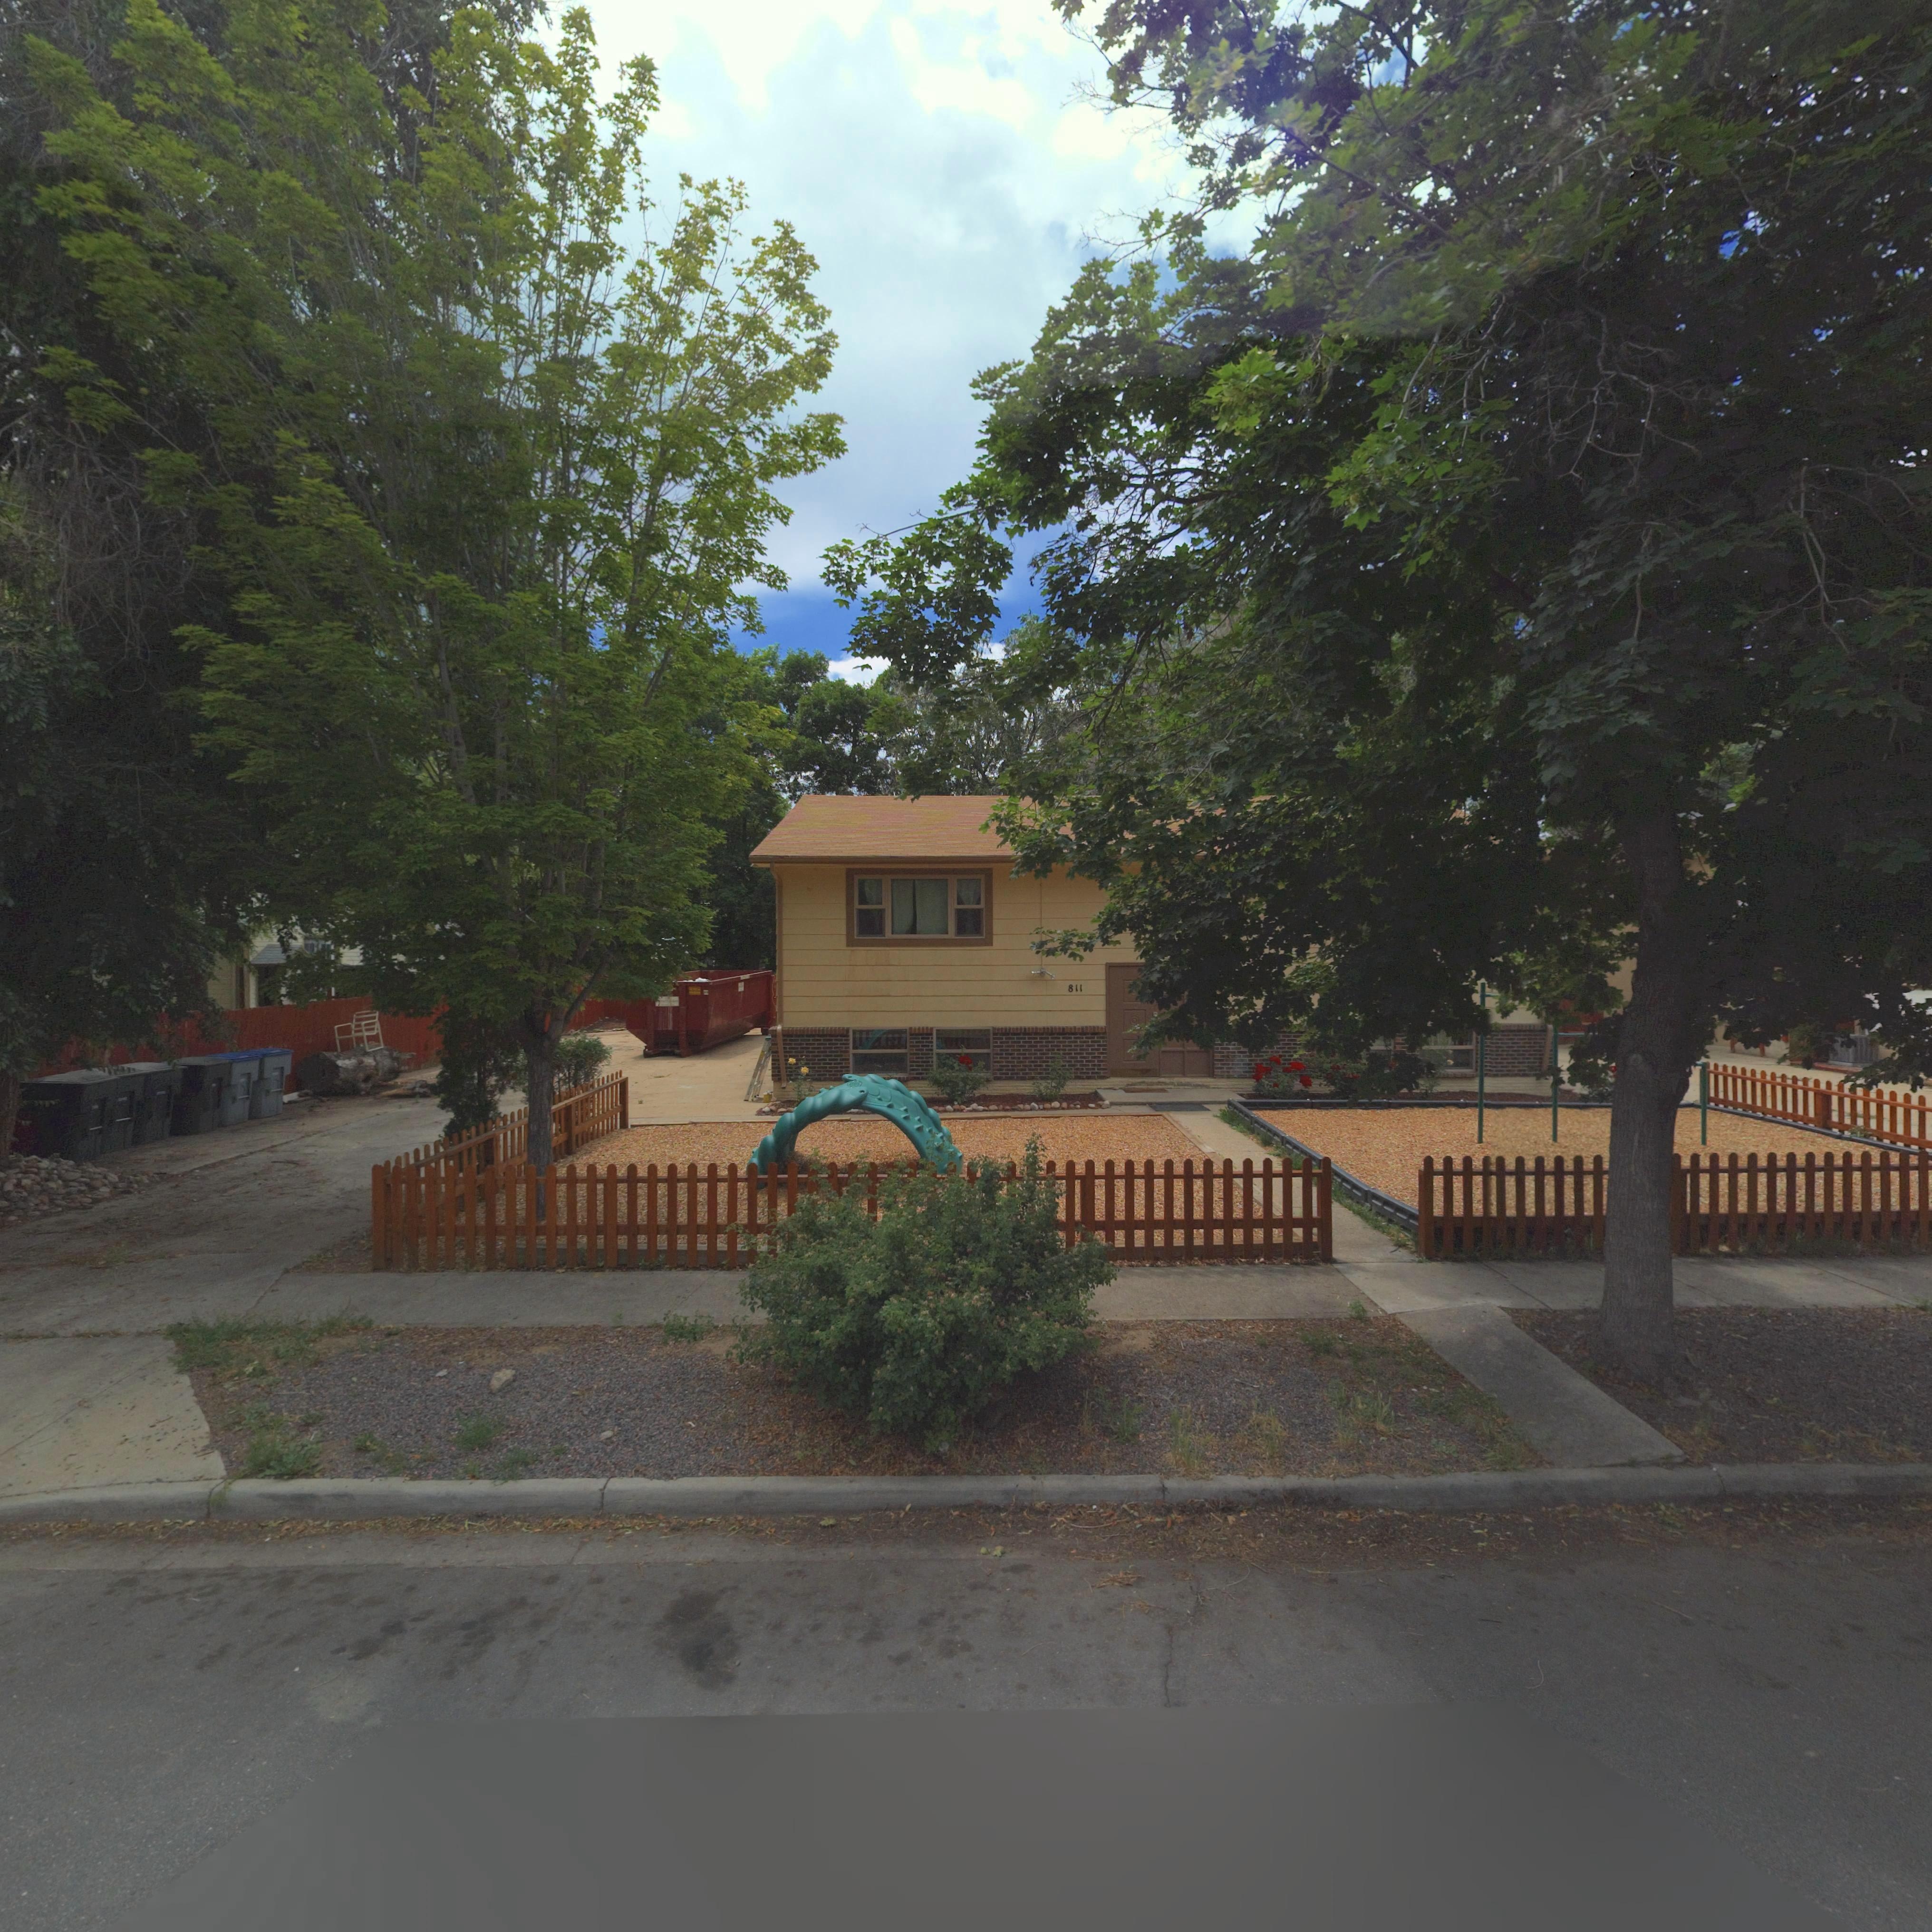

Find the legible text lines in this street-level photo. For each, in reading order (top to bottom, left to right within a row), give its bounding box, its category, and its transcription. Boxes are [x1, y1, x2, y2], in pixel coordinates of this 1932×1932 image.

[1066, 984, 1082, 993] StreetNumber: 811